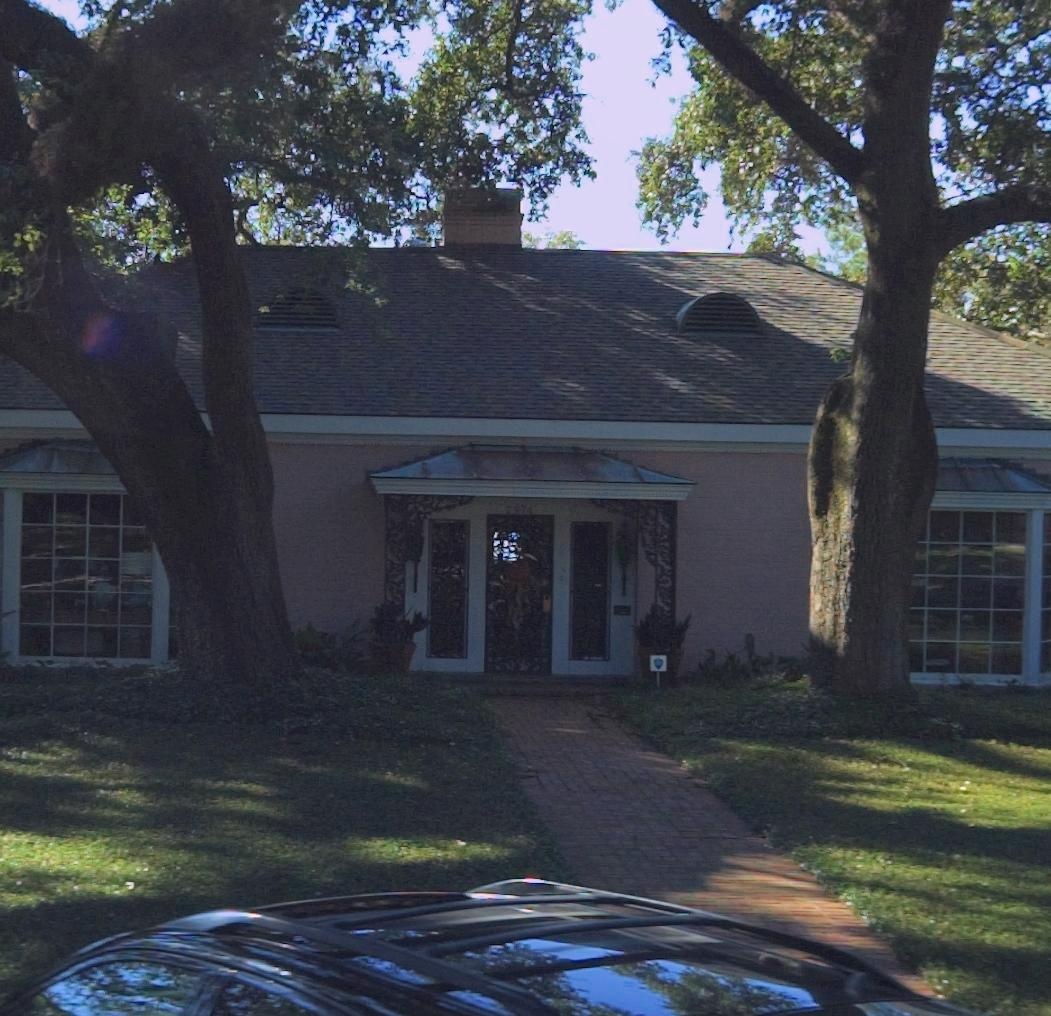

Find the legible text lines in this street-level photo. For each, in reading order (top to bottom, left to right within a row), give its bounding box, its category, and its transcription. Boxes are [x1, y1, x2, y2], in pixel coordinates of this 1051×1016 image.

[502, 504, 534, 518] StreetNumber: 2974